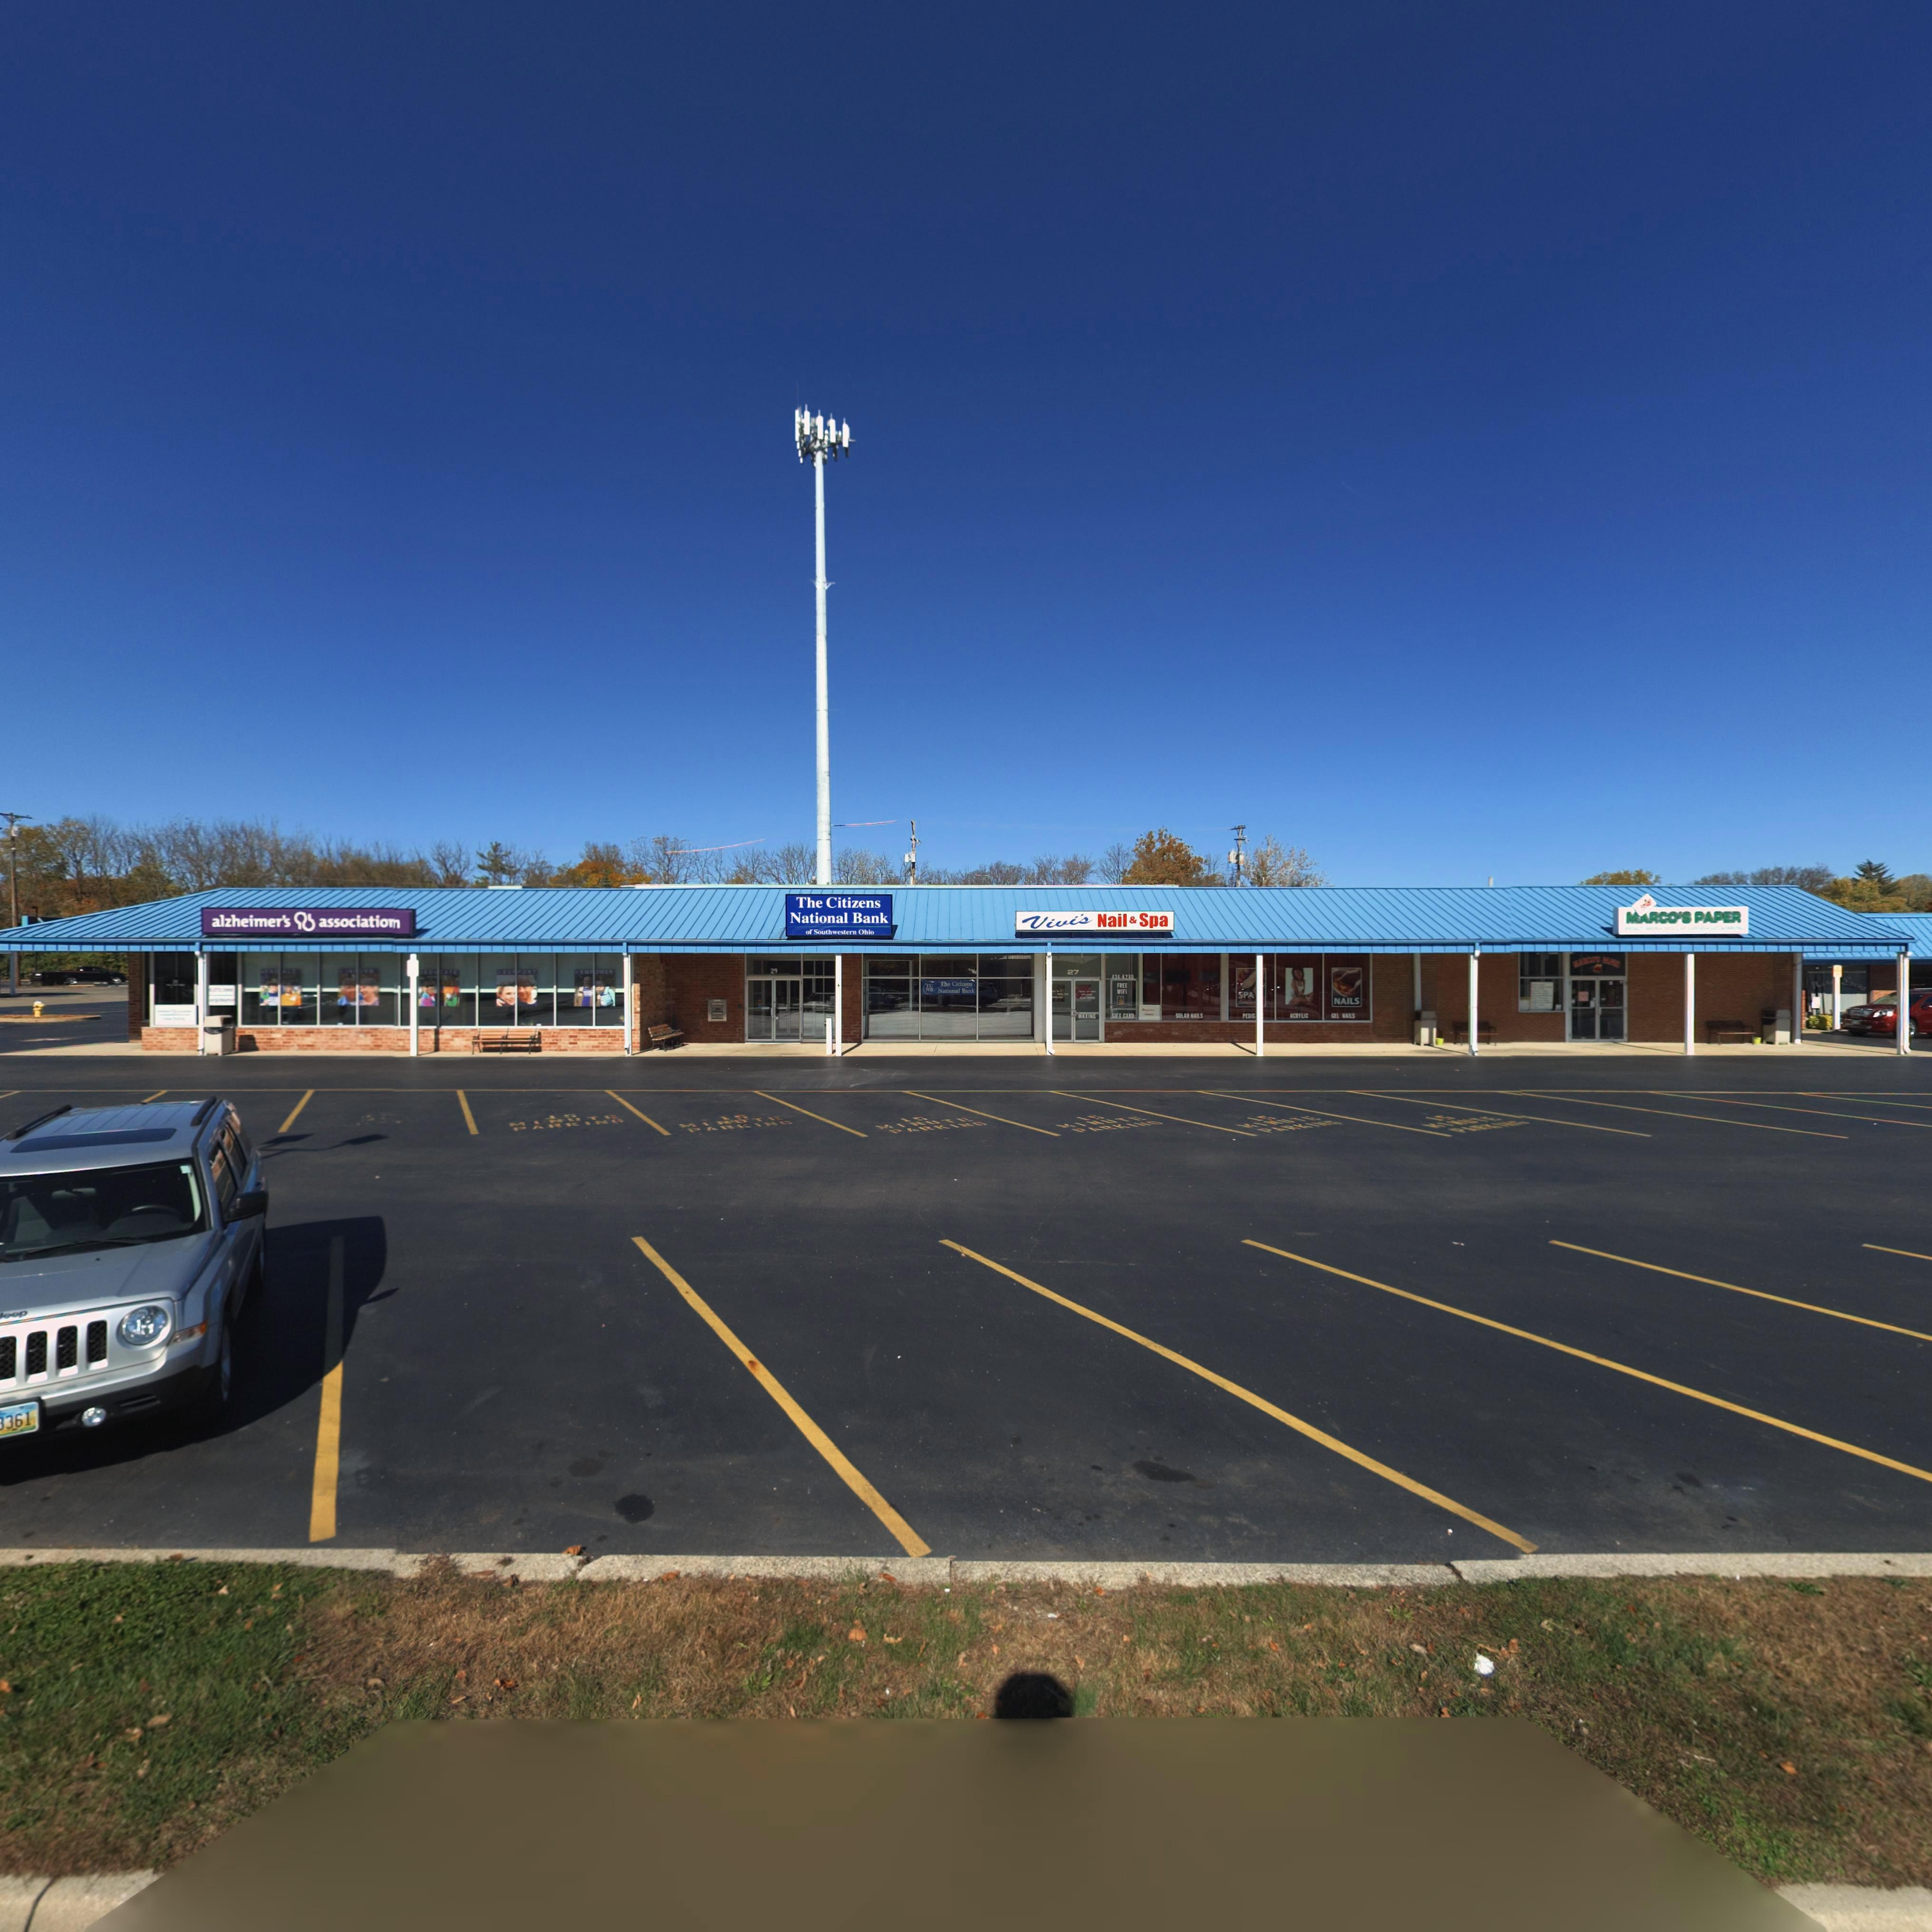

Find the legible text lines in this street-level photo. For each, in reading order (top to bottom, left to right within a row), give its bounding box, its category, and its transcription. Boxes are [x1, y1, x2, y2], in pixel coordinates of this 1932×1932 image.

[795, 896, 881, 909] BusinessName: The Citizens
[210, 914, 402, 930] BusinessName: alzheimer's * associatio*
[789, 912, 889, 924] BusinessName: National Bank
[1021, 912, 1169, 929] BusinessName: Vivi's Nail & Spa
[1626, 910, 1742, 925] BusinessName: MARCO'S PAPER
[805, 928, 875, 935] BusinessName: of Southwestern Ohio
[1571, 955, 1623, 969] BusinessName: MA*CO'S *****
[423, 969, 459, 976] None: ED**ATE
[502, 969, 538, 975] None: SUPPORT
[579, 969, 614, 975] None: EMPOWER
[770, 967, 779, 975] StreetNumber: 29
[1066, 969, 1081, 976] StreetNumber: 27
[1111, 974, 1135, 980] None: 434-4280
[925, 983, 934, 988] None: TC
[925, 987, 934, 992] None: NB
[939, 981, 973, 987] BusinessName: The Citizens
[937, 987, 976, 994] BusinessName: National Bank
[1116, 988, 1128, 995] None: WIFI
[1116, 982, 1128, 989] None: FREE
[1237, 991, 1255, 999] None: SPA
[1840, 976, 1868, 992] BusinessName: Event
[1333, 997, 1360, 1005] None: NAILS
[1077, 1013, 1097, 1019] None: WAXING
[1111, 1013, 1135, 1019] None: GIFT CARD
[1175, 1013, 1204, 1019] None: SOLAR NAILS
[1242, 1013, 1256, 1019] None: PEDIC
[1289, 1013, 1309, 1019] None: ACRYLIC
[1330, 1012, 1356, 1019] None: GEL NAILS
[508, 1114, 620, 1128] None: MINUTE
[511, 1118, 626, 1132] None: PARKING
[677, 1115, 785, 1129] None: MINUTE
[686, 1120, 795, 1133] None: PARKING
[873, 1117, 976, 1130] None: MINUTE
[886, 1121, 992, 1135] None: PARKING
[1075, 1114, 1105, 1121] None: 15
[1053, 1116, 1151, 1130] None: MINUTE
[1069, 1120, 1165, 1133] None: PARKING
[1246, 1114, 1277, 1122] None: 15
[1235, 1115, 1323, 1129] None: MINUTE
[1256, 1120, 1343, 1133] None: PARKING
[1422, 1114, 1456, 1122] None: 15
[1420, 1115, 1504, 1129] None: MINUTE
[1445, 1119, 1531, 1134] None: PARKING
[2, 1310, 29, 1320] None: eep
[4, 1410, 32, 1430] None: 361